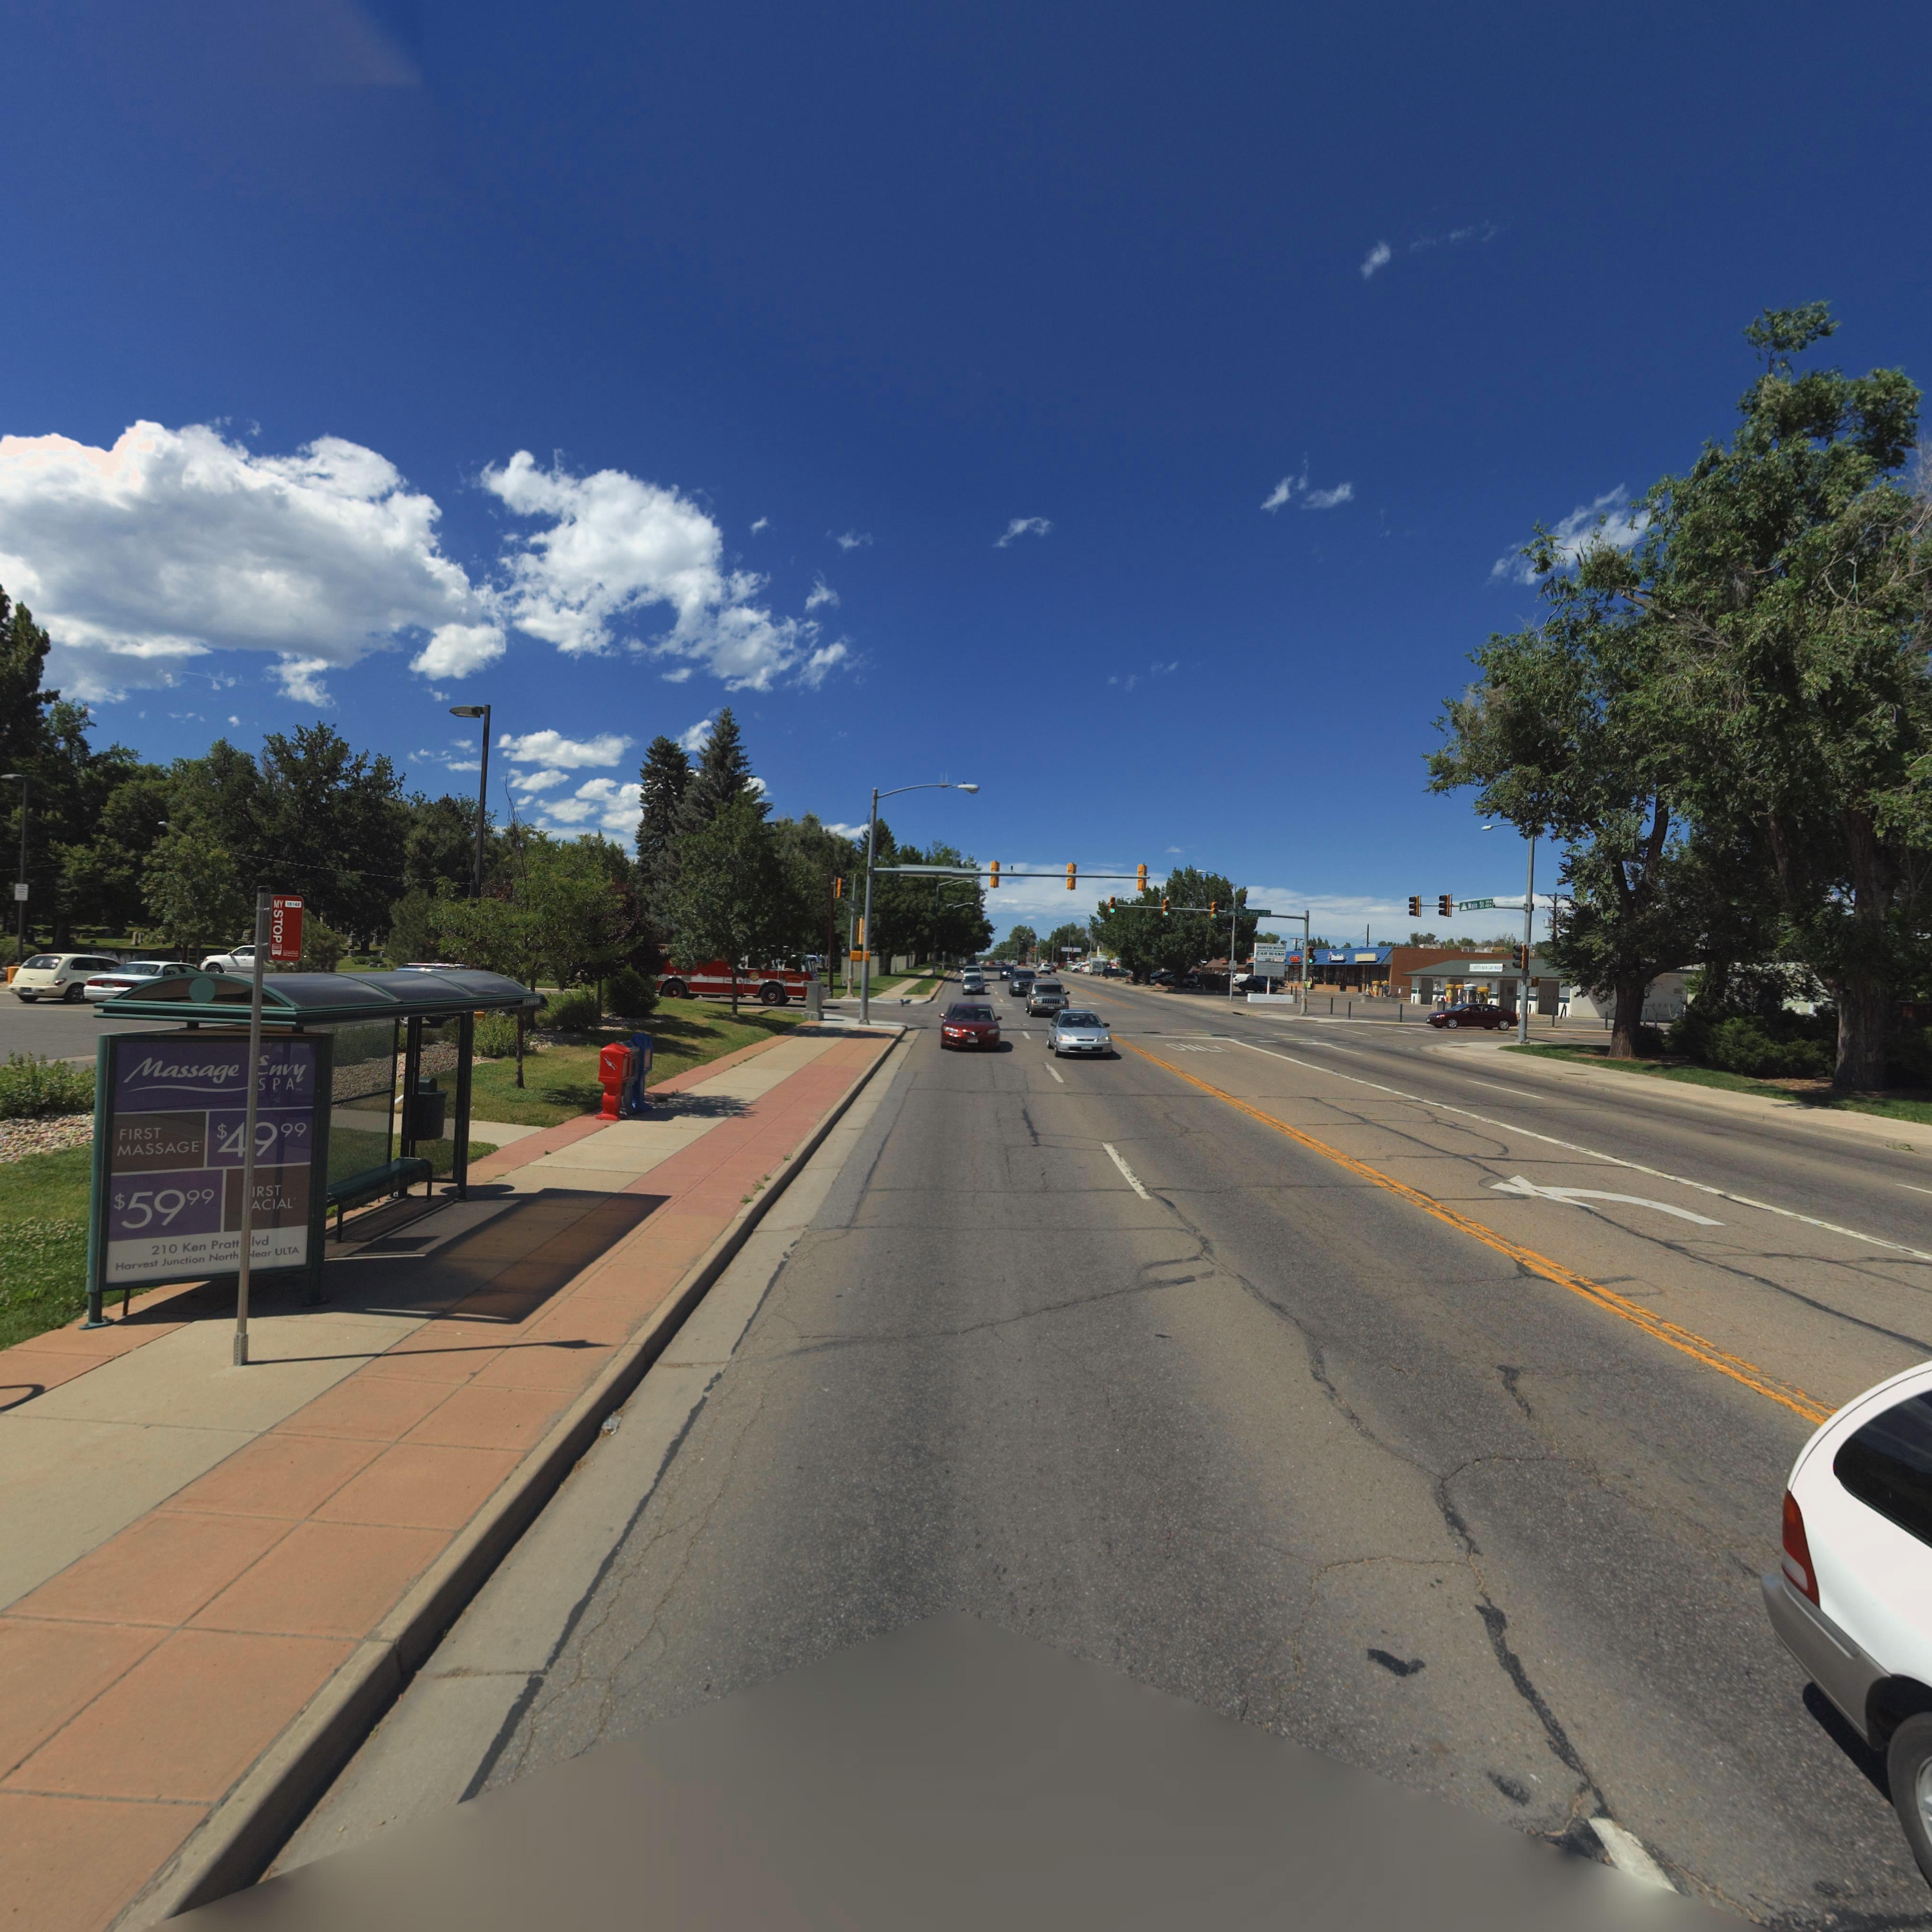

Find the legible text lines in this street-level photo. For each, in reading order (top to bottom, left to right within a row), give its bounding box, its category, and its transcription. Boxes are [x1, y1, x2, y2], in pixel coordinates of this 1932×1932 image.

[1468, 900, 1484, 909] StreetName: Ma** St
[1237, 909, 1259, 916] StreetName: 11** A**
[1256, 951, 1285, 956] BusinessName: CAR WASH
[1488, 965, 1502, 970] BusinessName: C** **S*